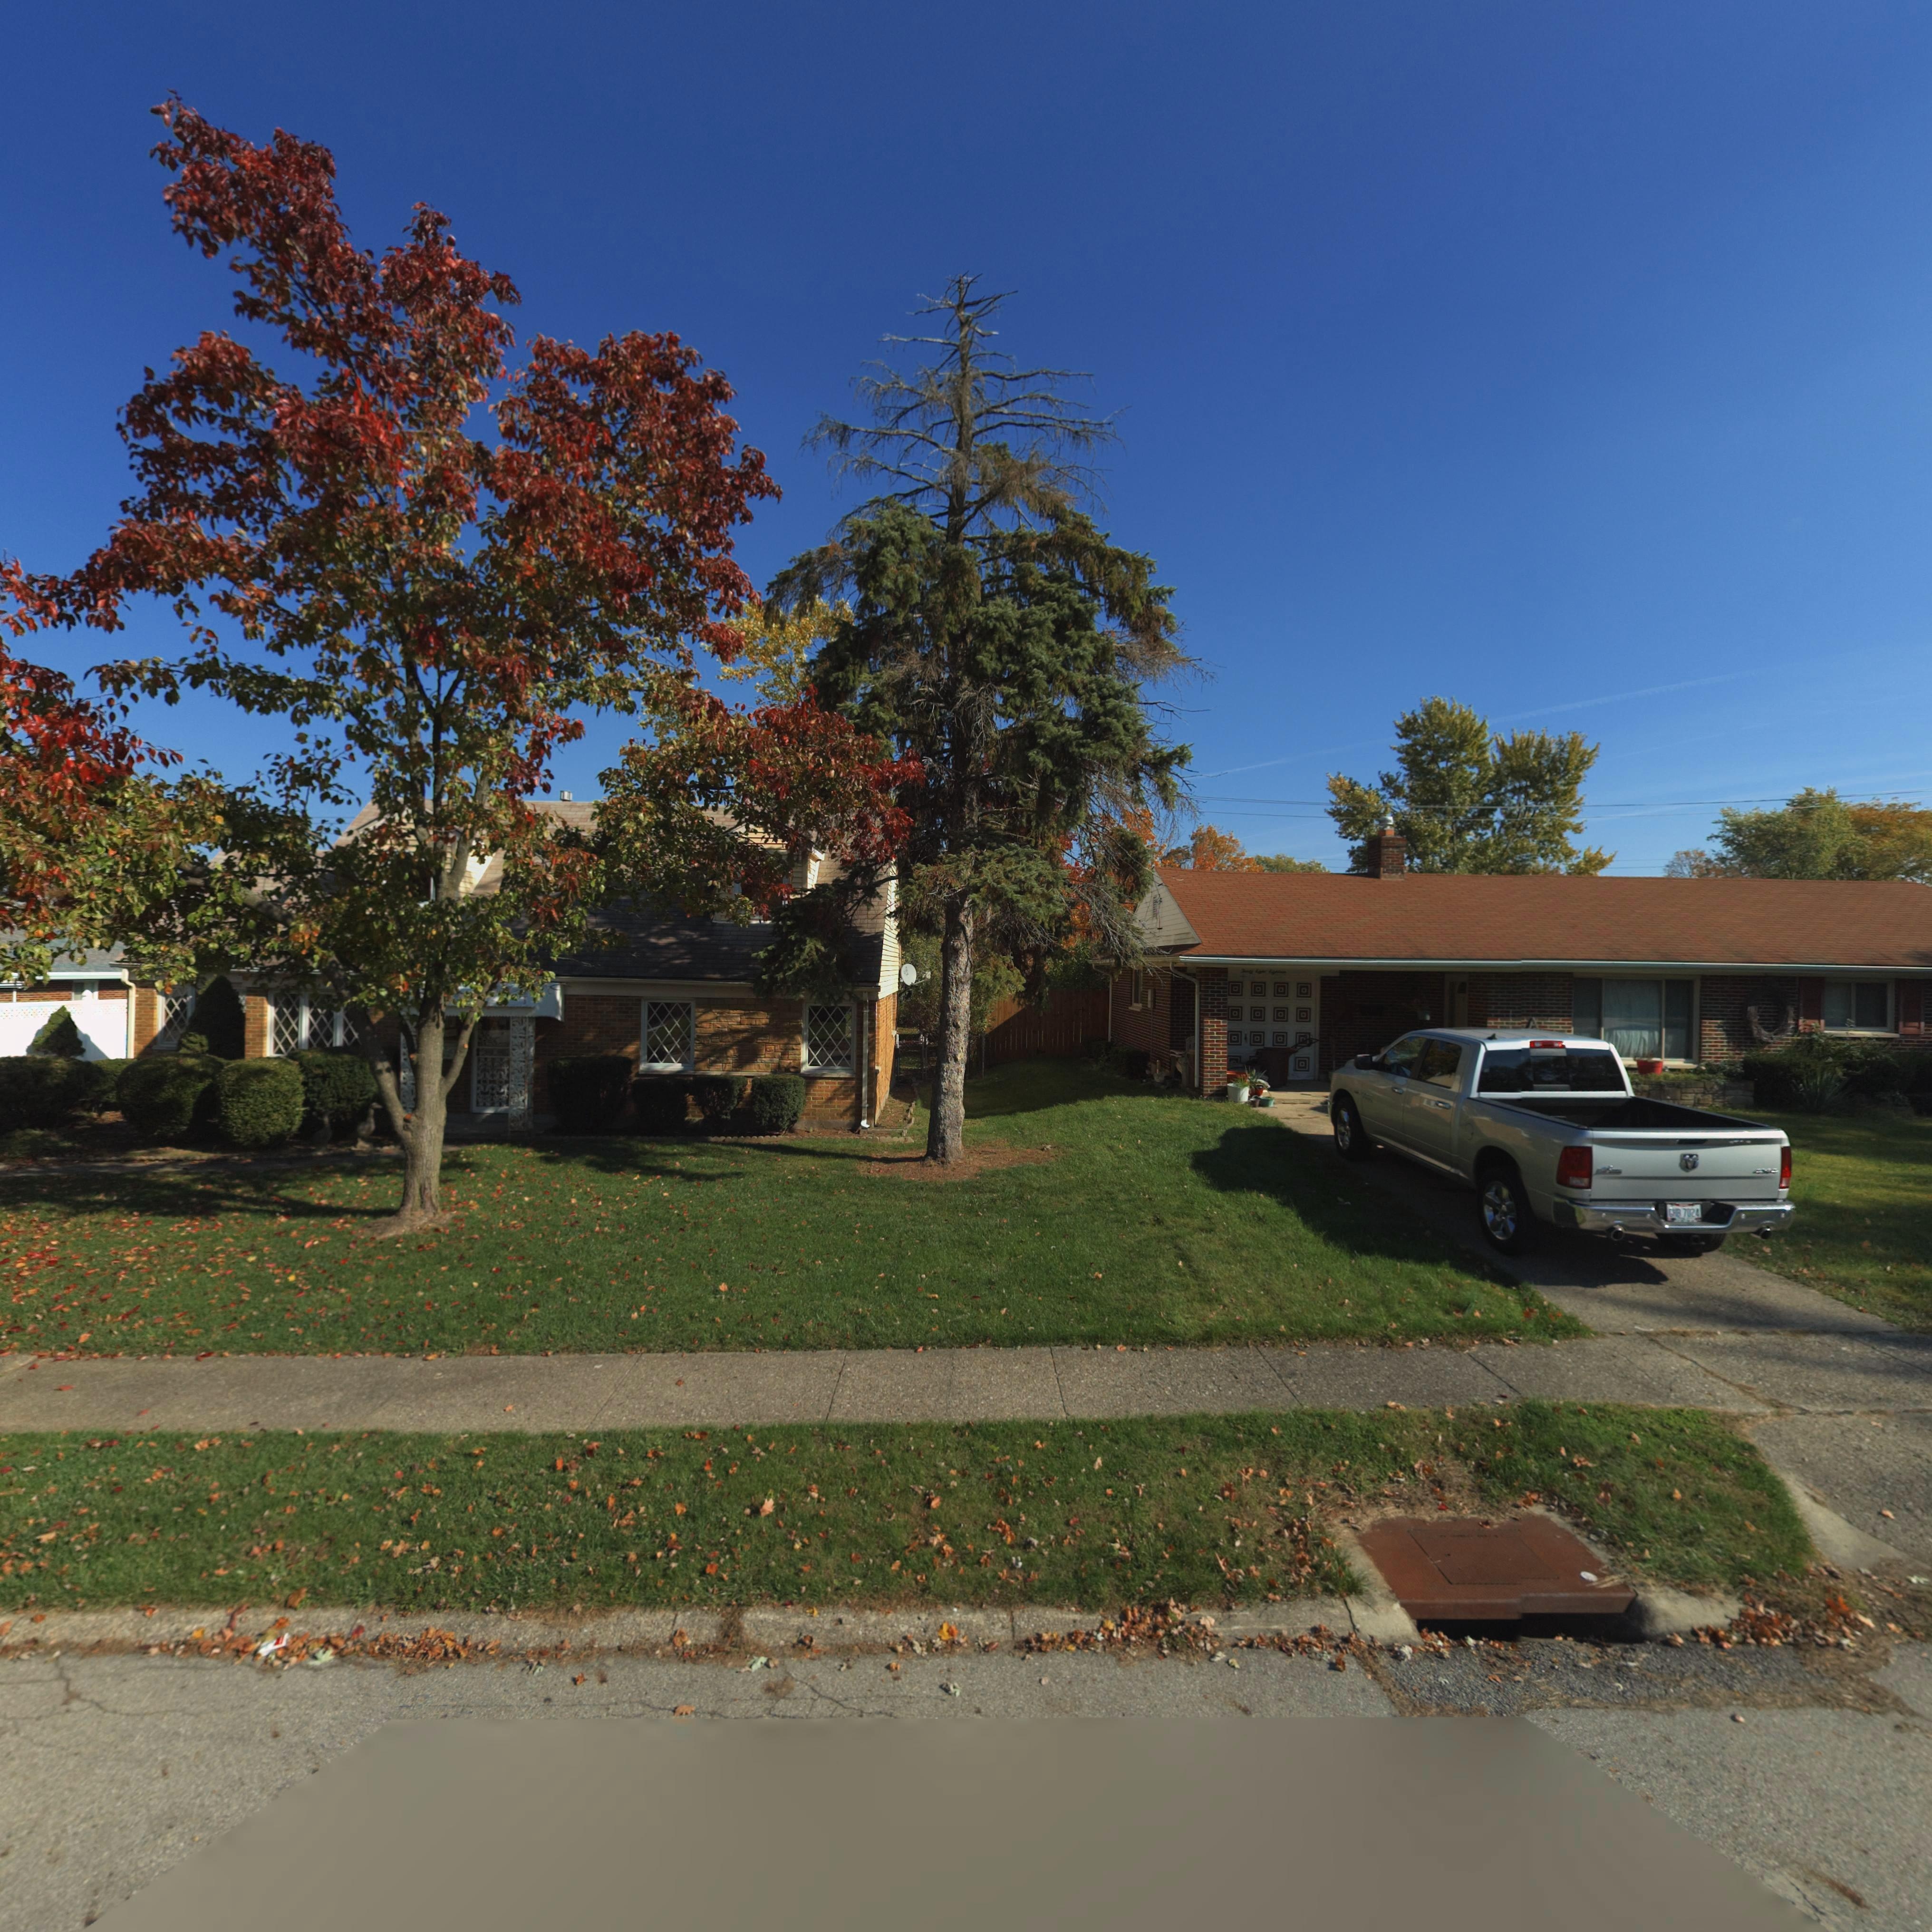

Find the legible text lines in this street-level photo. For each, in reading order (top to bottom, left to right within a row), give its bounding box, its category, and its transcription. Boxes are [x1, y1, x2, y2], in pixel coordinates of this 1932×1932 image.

[1667, 1207, 1700, 1220] None: *** 7024